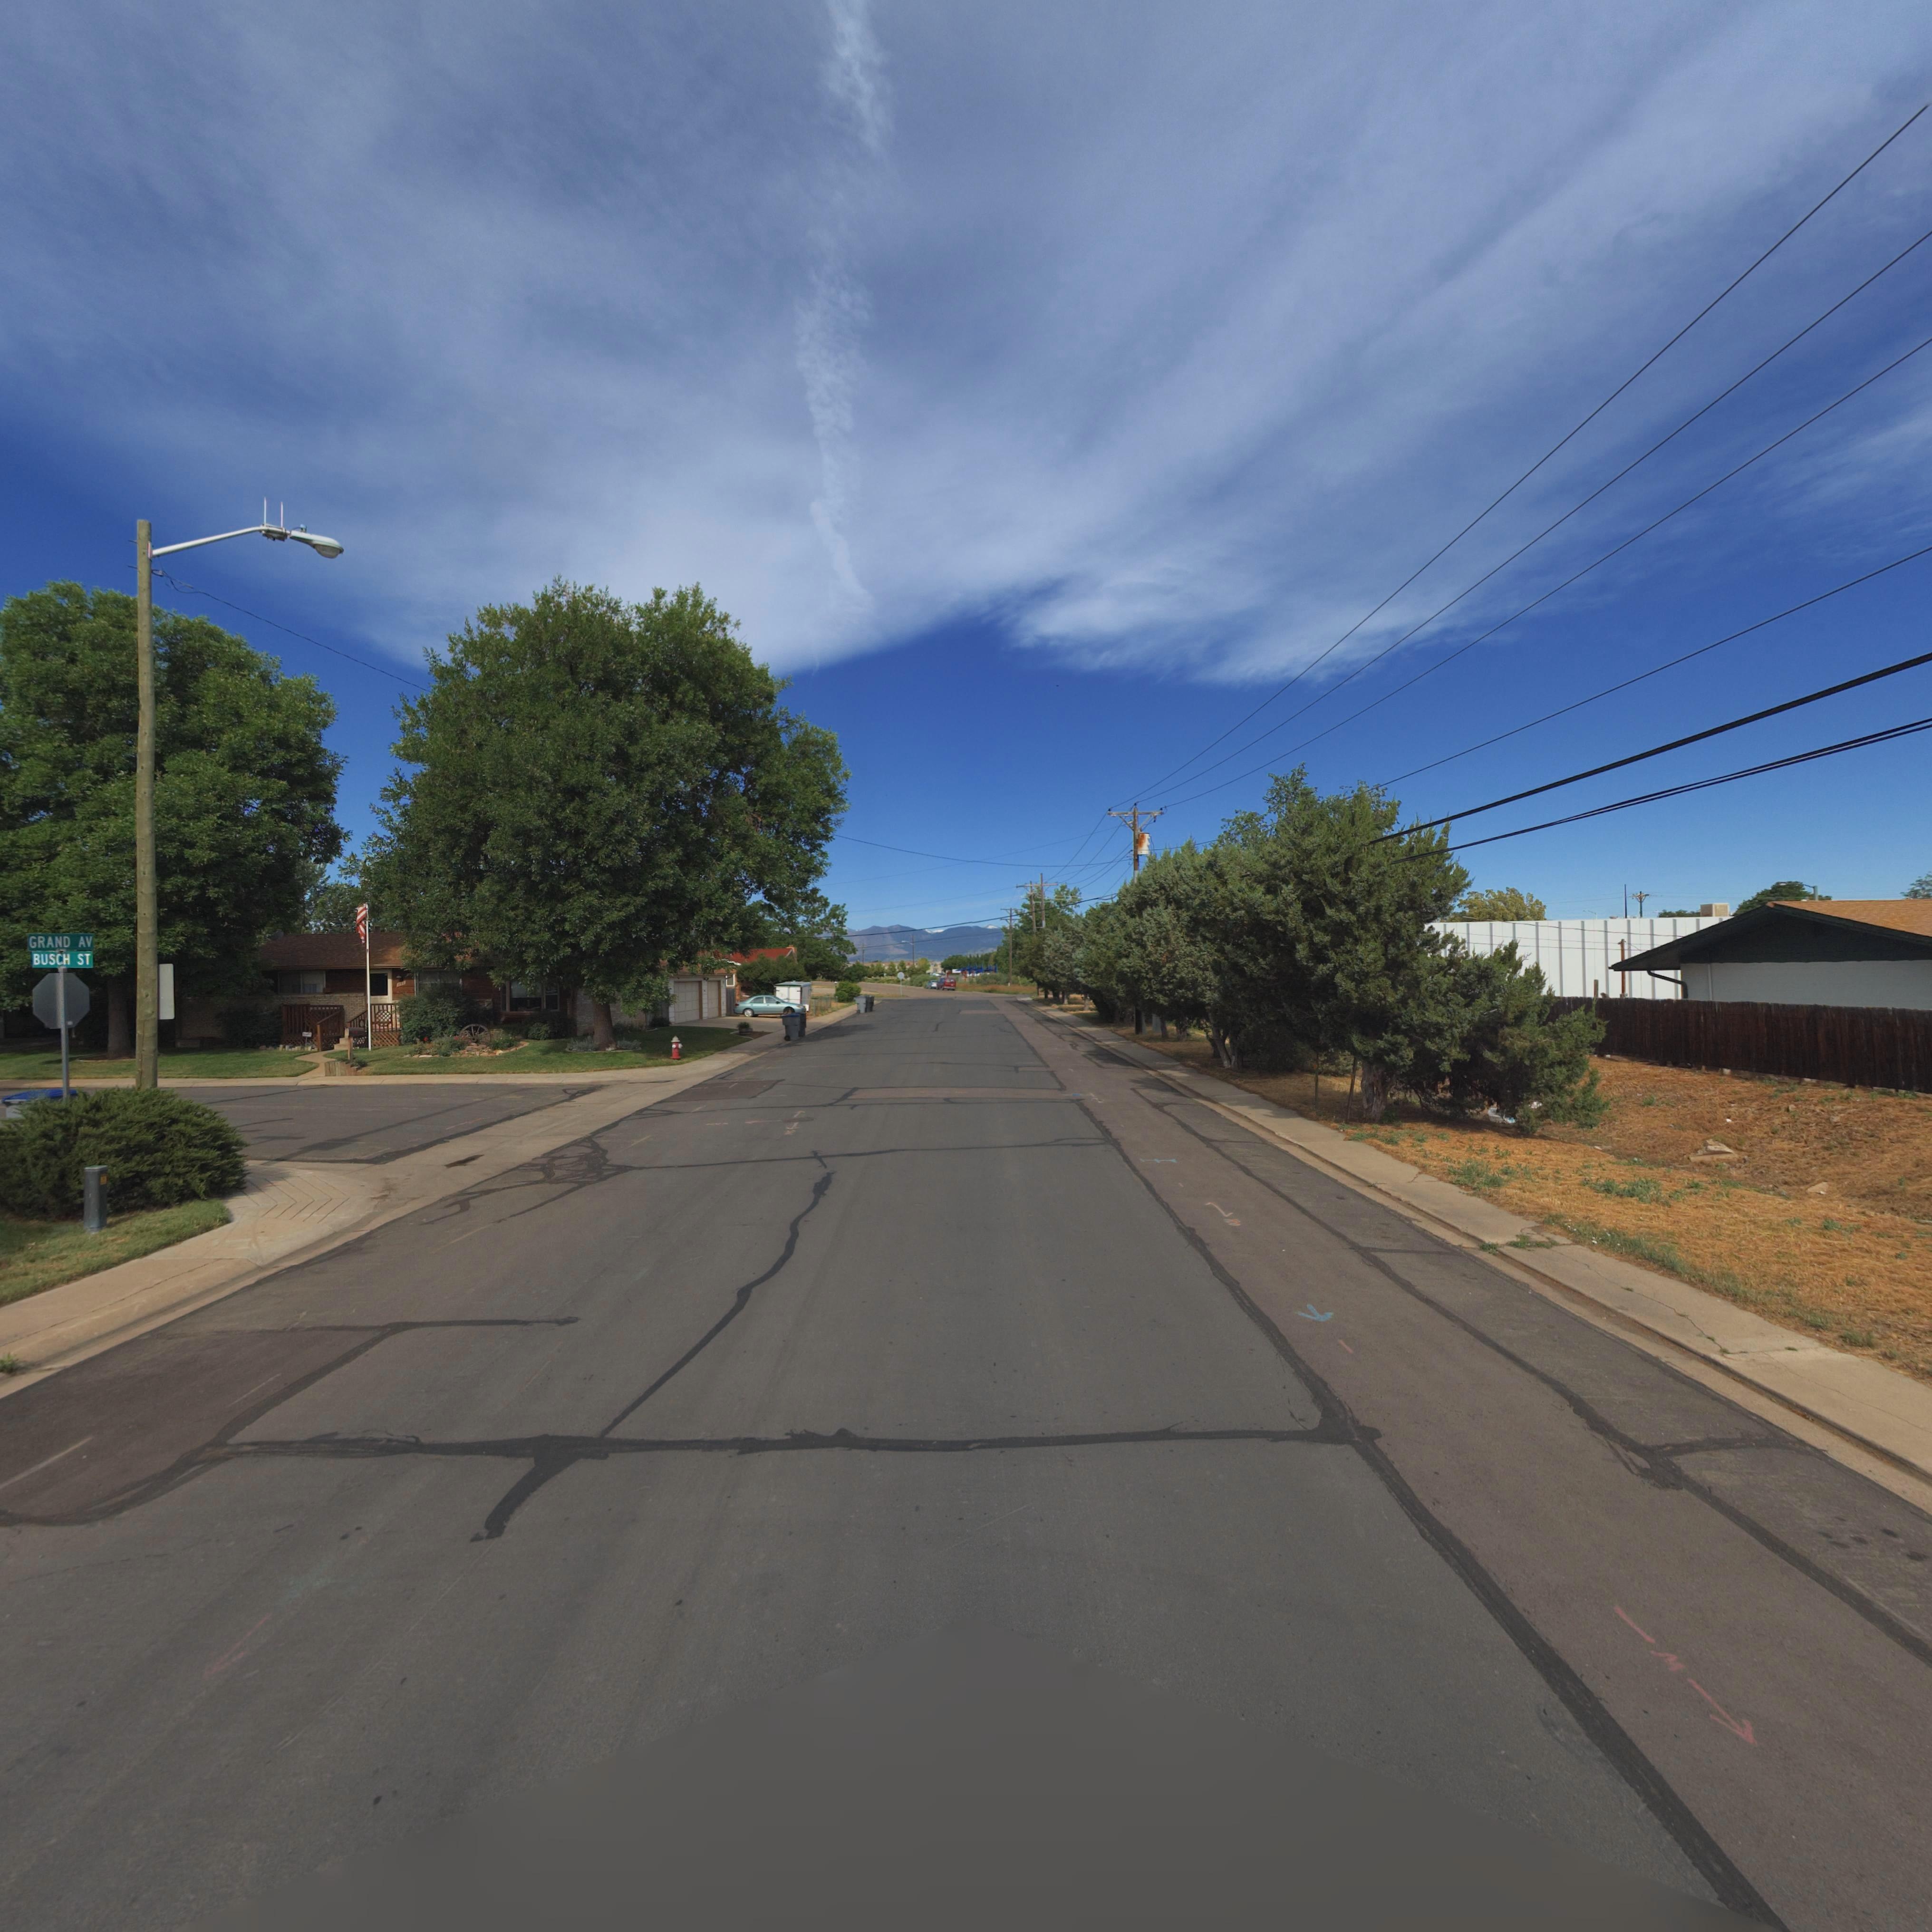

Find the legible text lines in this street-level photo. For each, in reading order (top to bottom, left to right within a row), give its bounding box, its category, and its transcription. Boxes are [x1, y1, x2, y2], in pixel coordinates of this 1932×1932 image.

[29, 935, 93, 948] StreetName: GRAND AV
[32, 952, 91, 966] StreetName: BUSCH ST
[397, 980, 405, 987] StreetNumber: **1